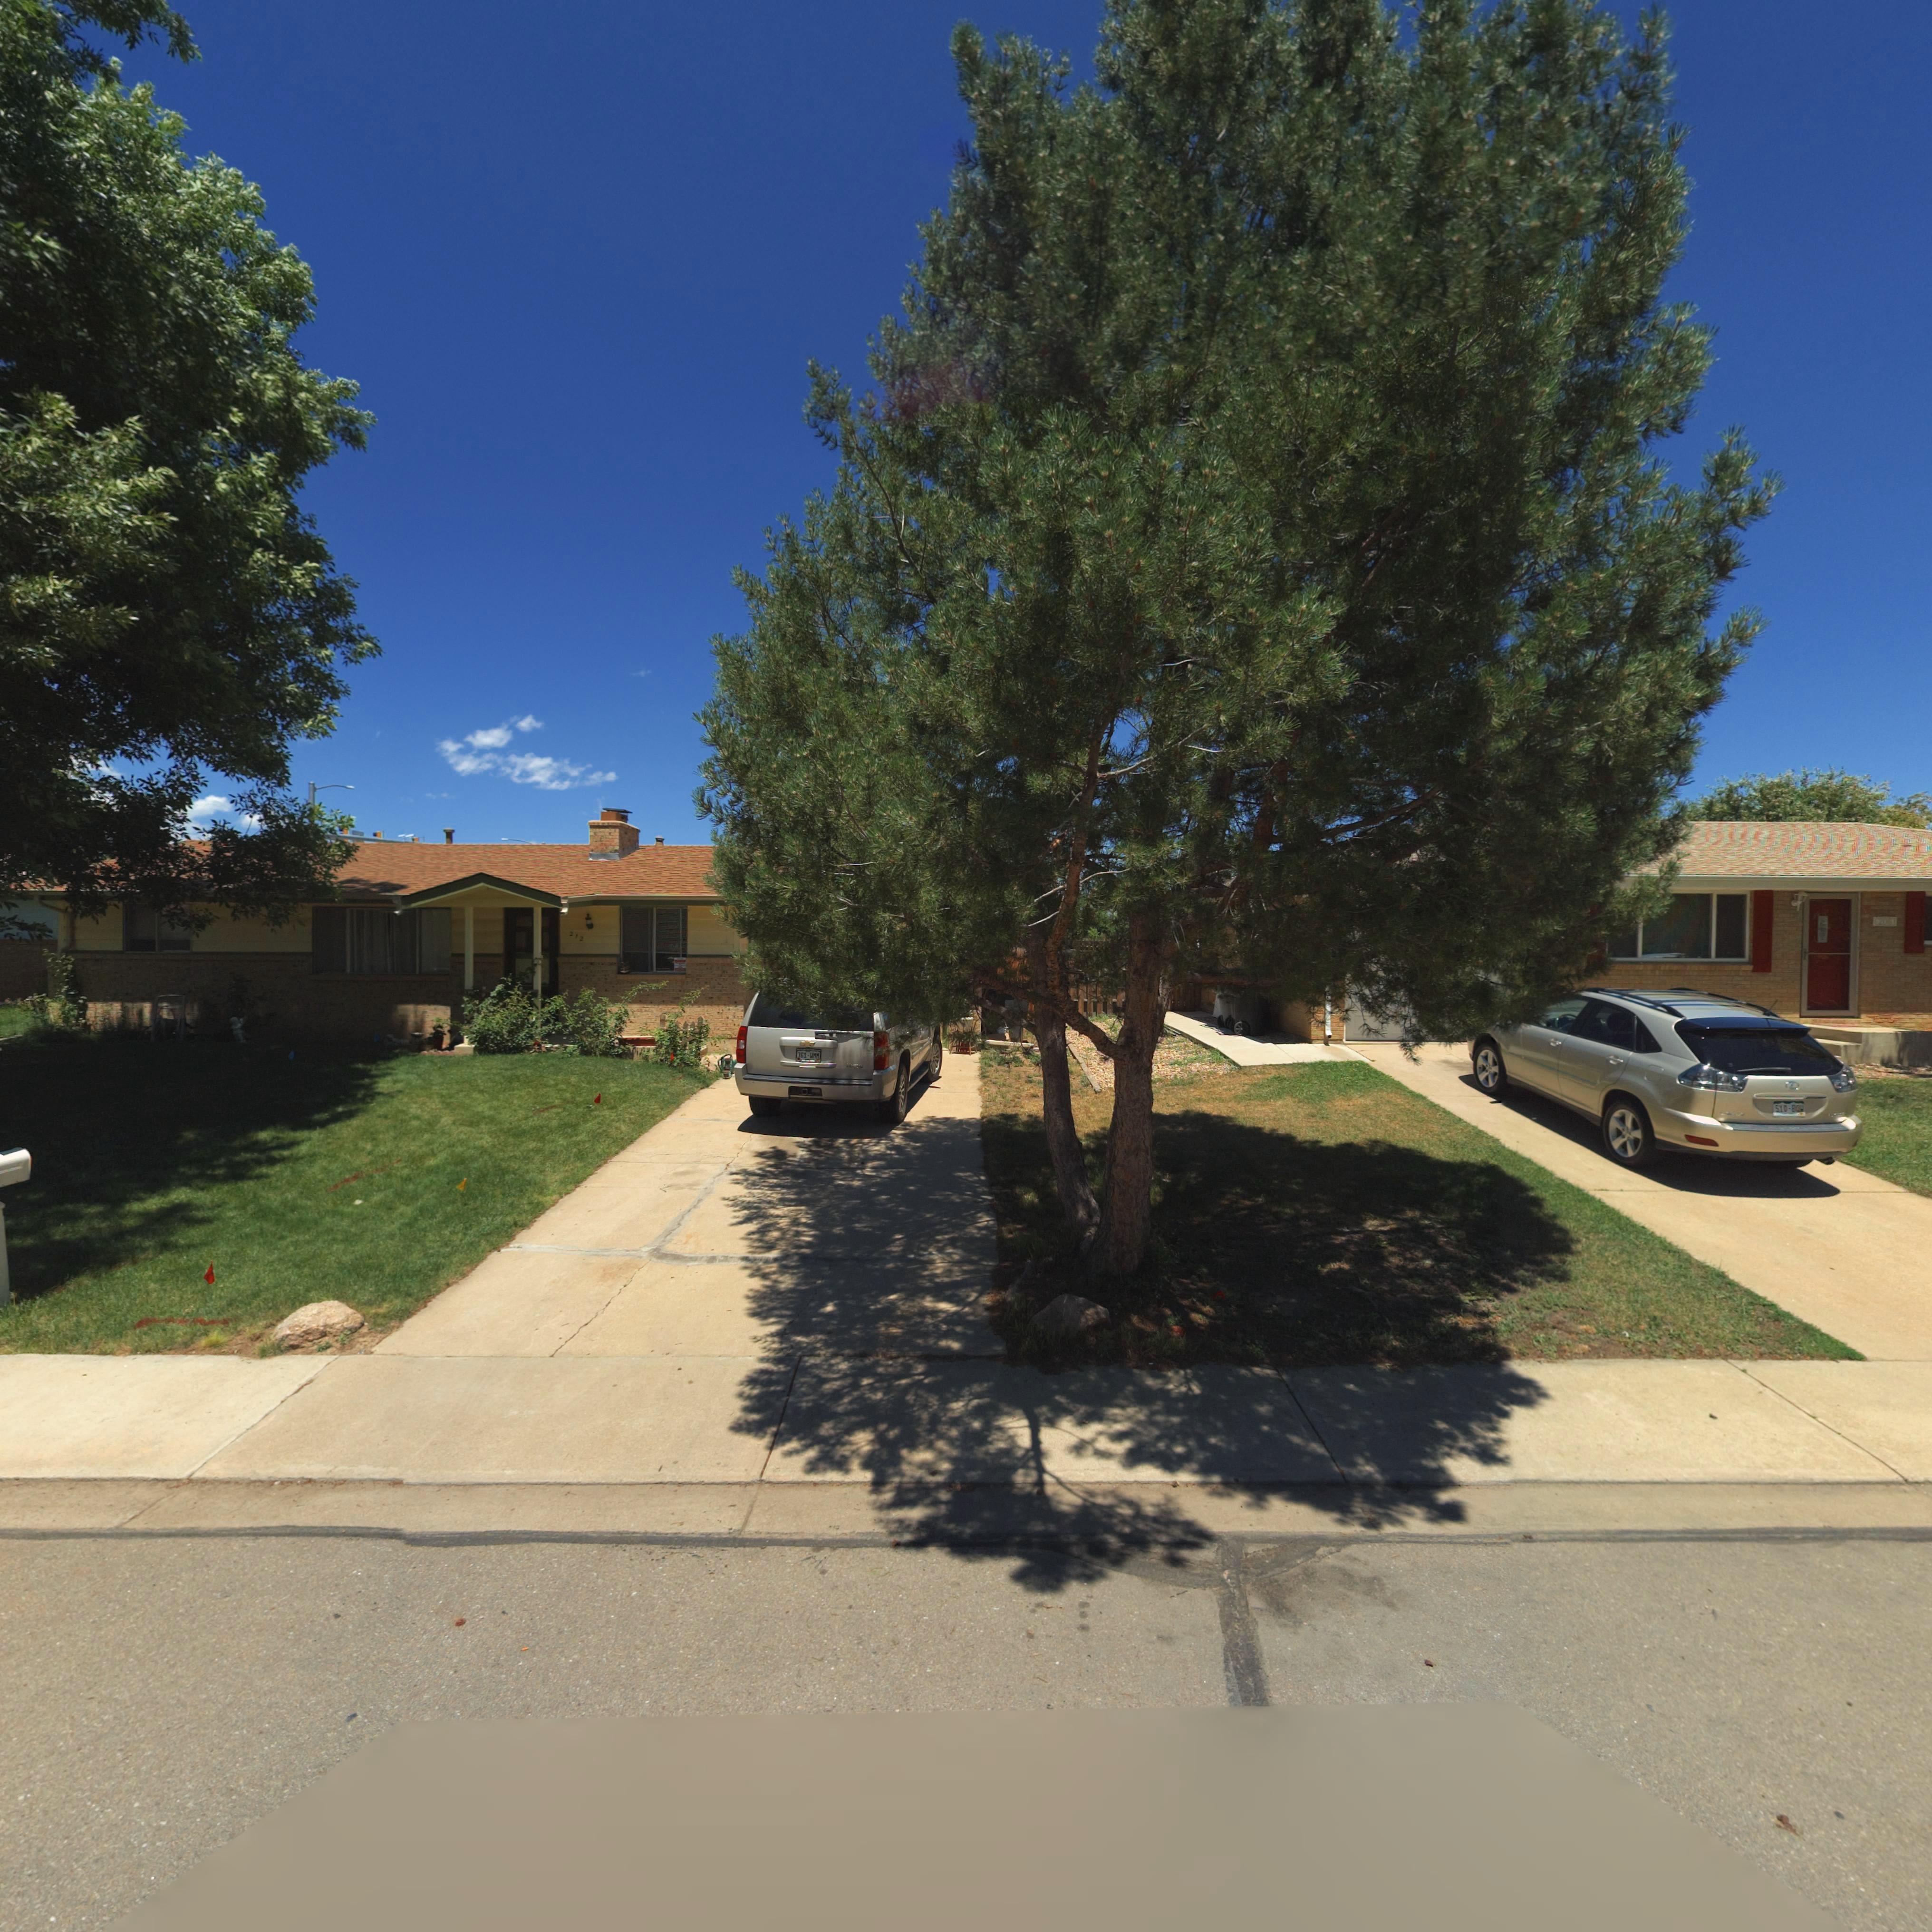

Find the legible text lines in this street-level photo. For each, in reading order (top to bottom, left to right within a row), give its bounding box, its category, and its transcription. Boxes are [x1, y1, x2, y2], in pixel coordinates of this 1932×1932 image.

[1878, 918, 1893, 925] StreetNumber: 2**
[569, 929, 584, 942] StreetNumber: 212